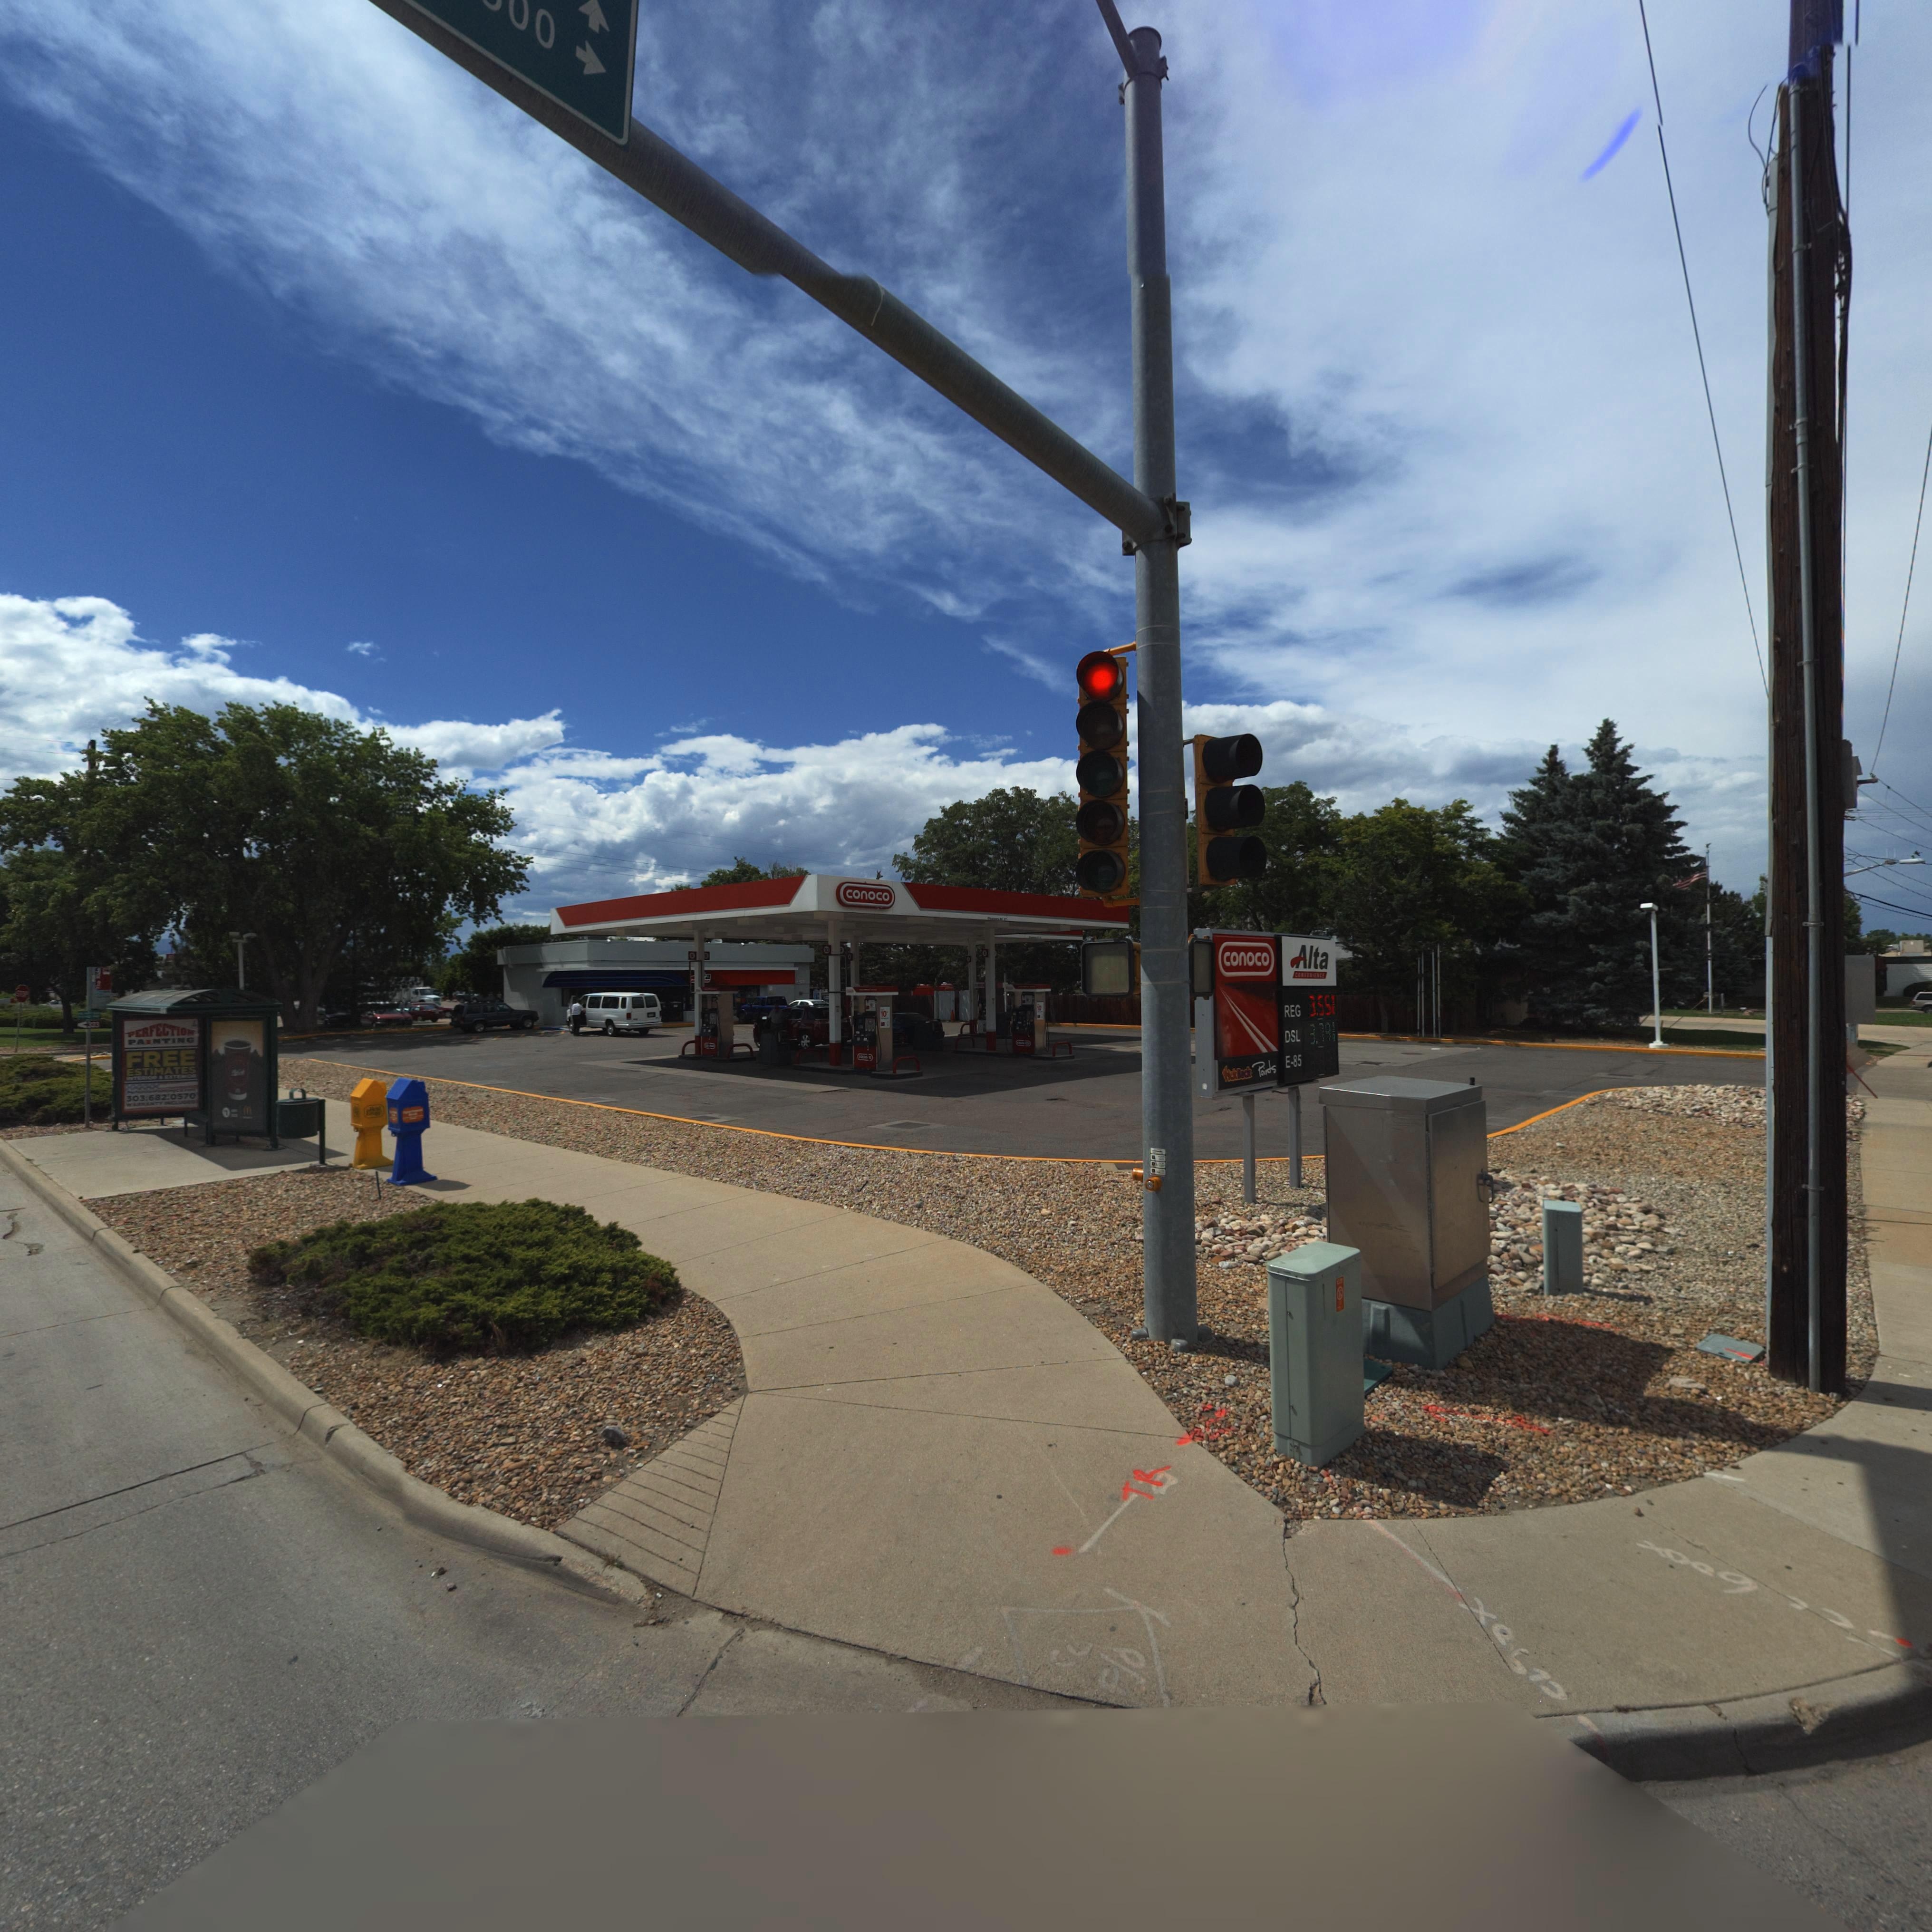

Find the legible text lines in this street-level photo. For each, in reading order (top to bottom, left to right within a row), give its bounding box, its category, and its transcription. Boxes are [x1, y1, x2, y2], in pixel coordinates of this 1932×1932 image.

[534, 7, 607, 76] StreetNumberRange: 0 ->
[845, 889, 889, 901] BusinessName: conoco
[1223, 951, 1269, 966] BusinessName: conoco
[1290, 944, 1329, 970] BusinessName: Alta
[705, 974, 710, 979] BusinessName: a
[1294, 972, 1324, 978] BusinessName: CONVENIENCE
[1016, 1041, 1030, 1044] BusinessName: con*co
[858, 1055, 871, 1059] BusinessName: cono*o